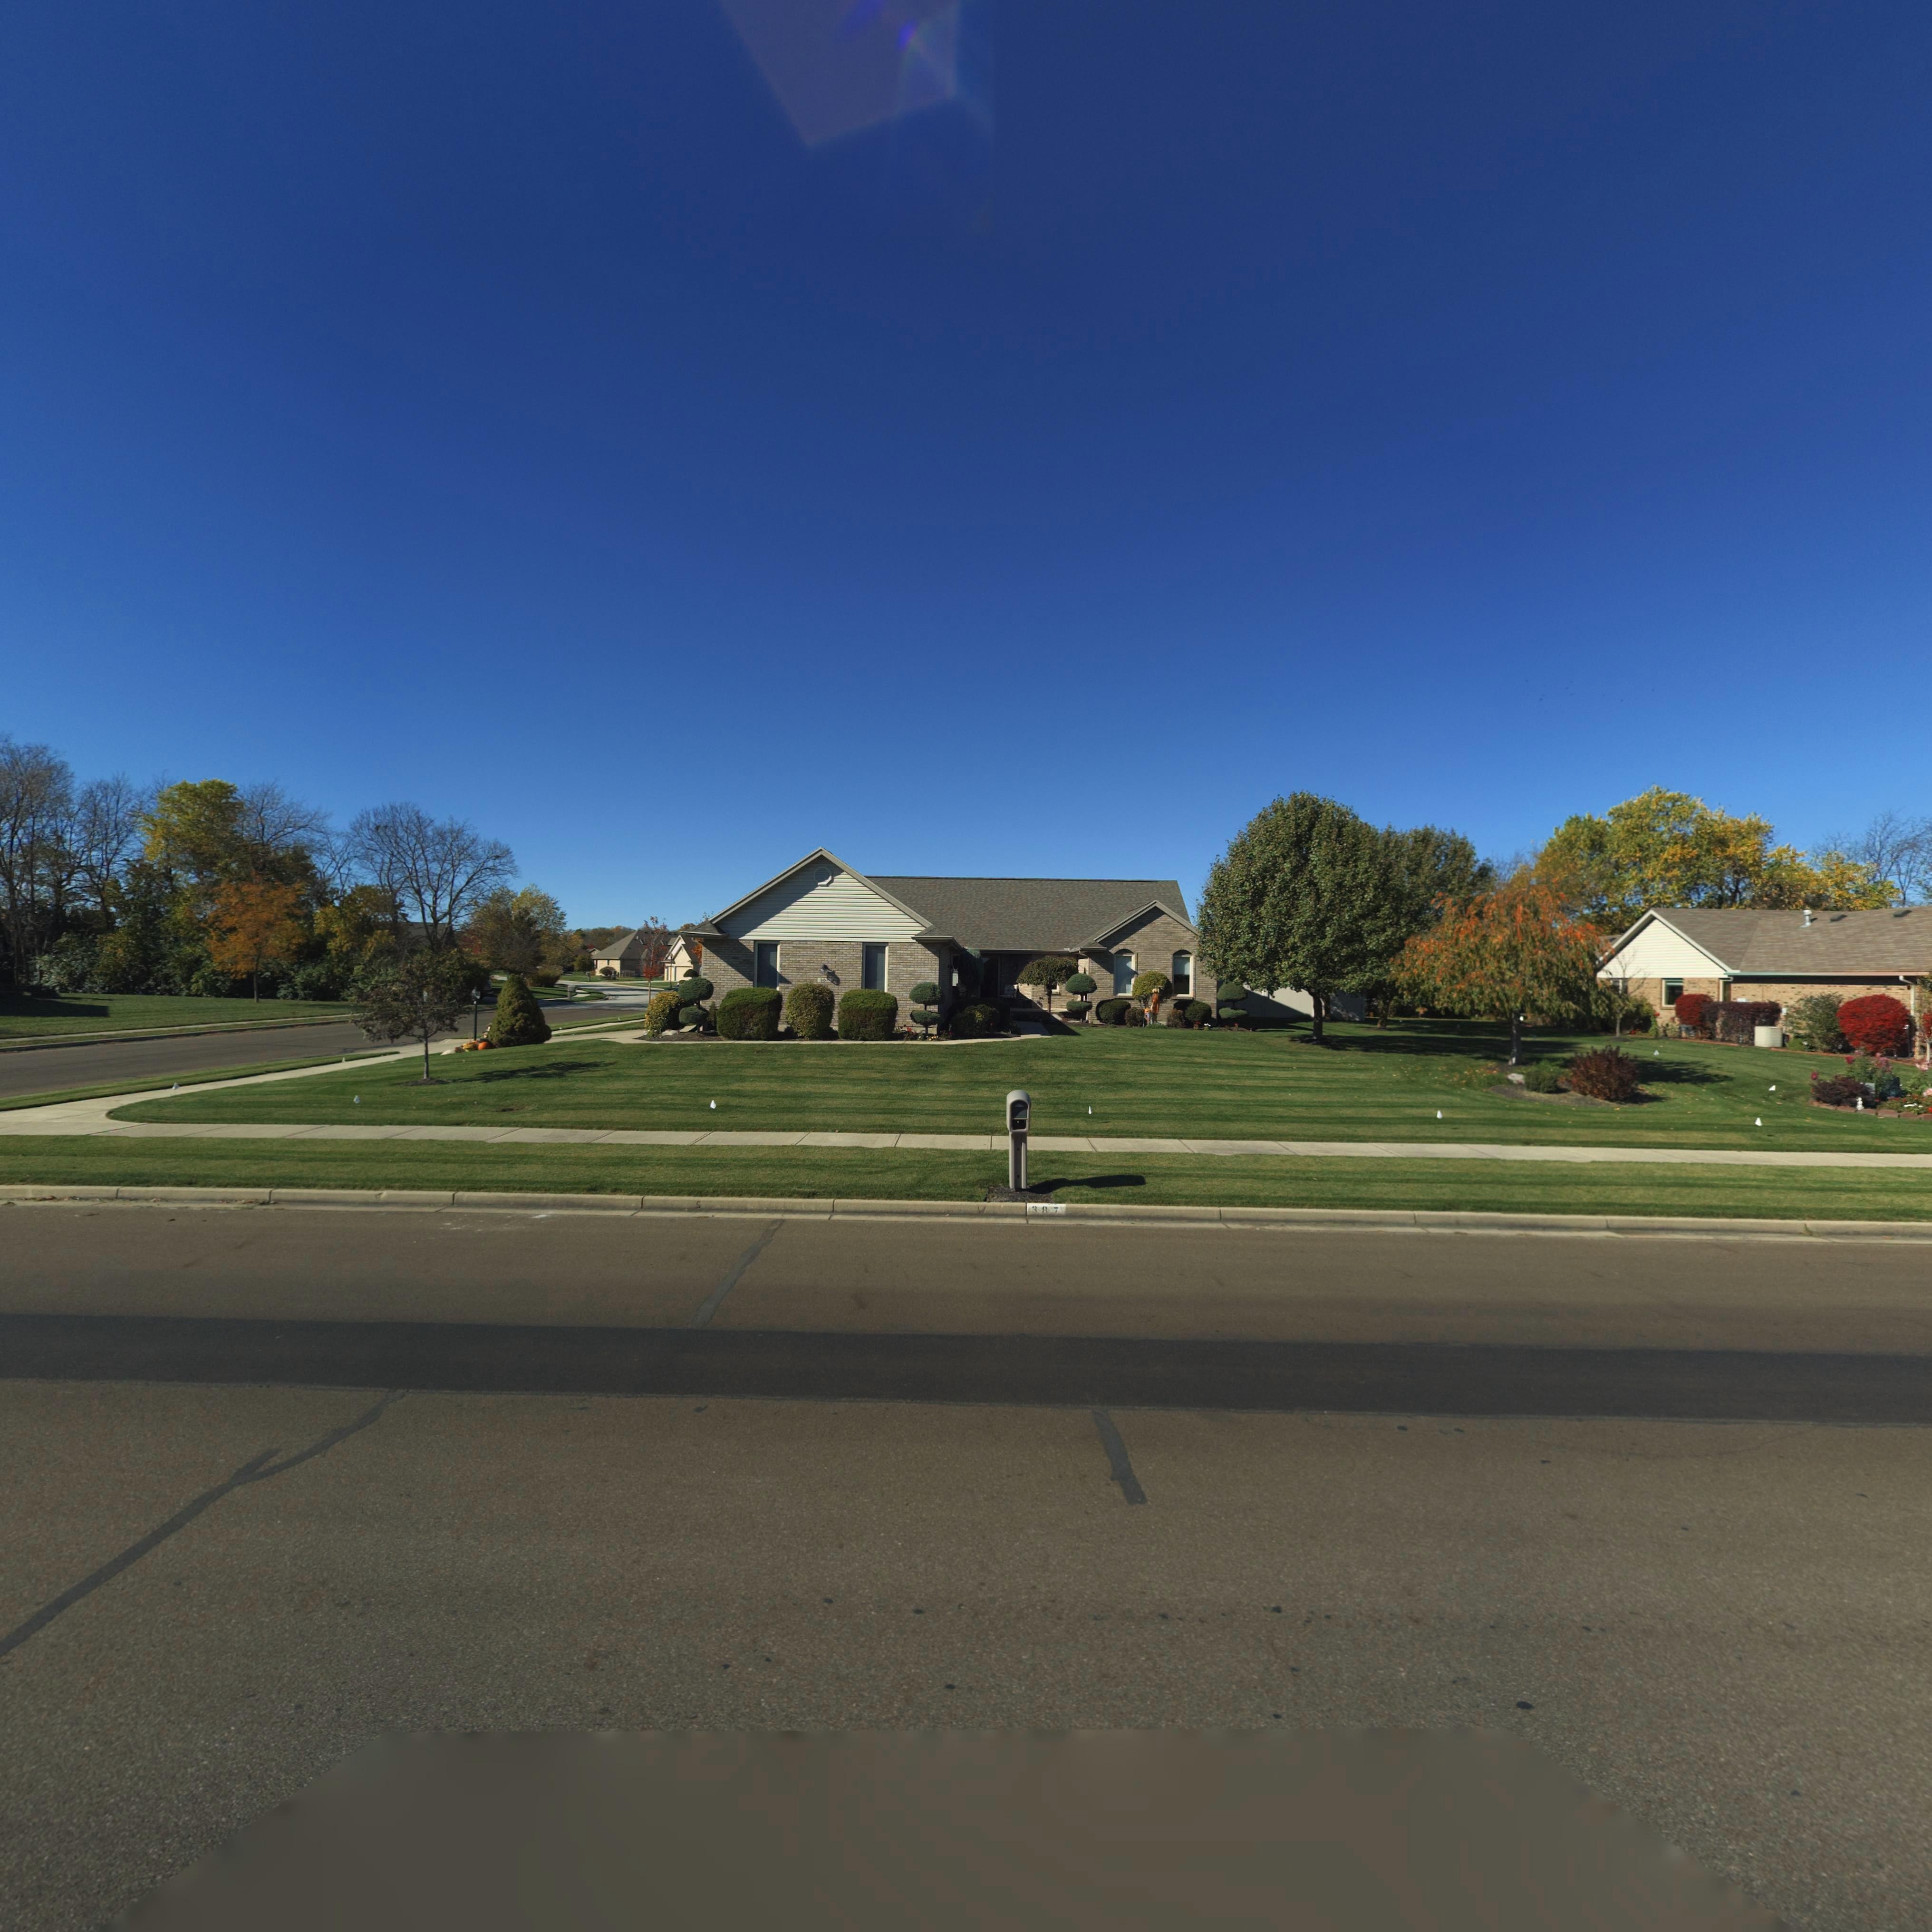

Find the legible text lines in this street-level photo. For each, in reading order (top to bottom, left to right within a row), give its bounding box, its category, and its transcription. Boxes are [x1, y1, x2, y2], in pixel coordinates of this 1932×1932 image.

[820, 978, 830, 982] StreetNumber: 387
[1031, 1205, 1060, 1215] StreetNumber: 387